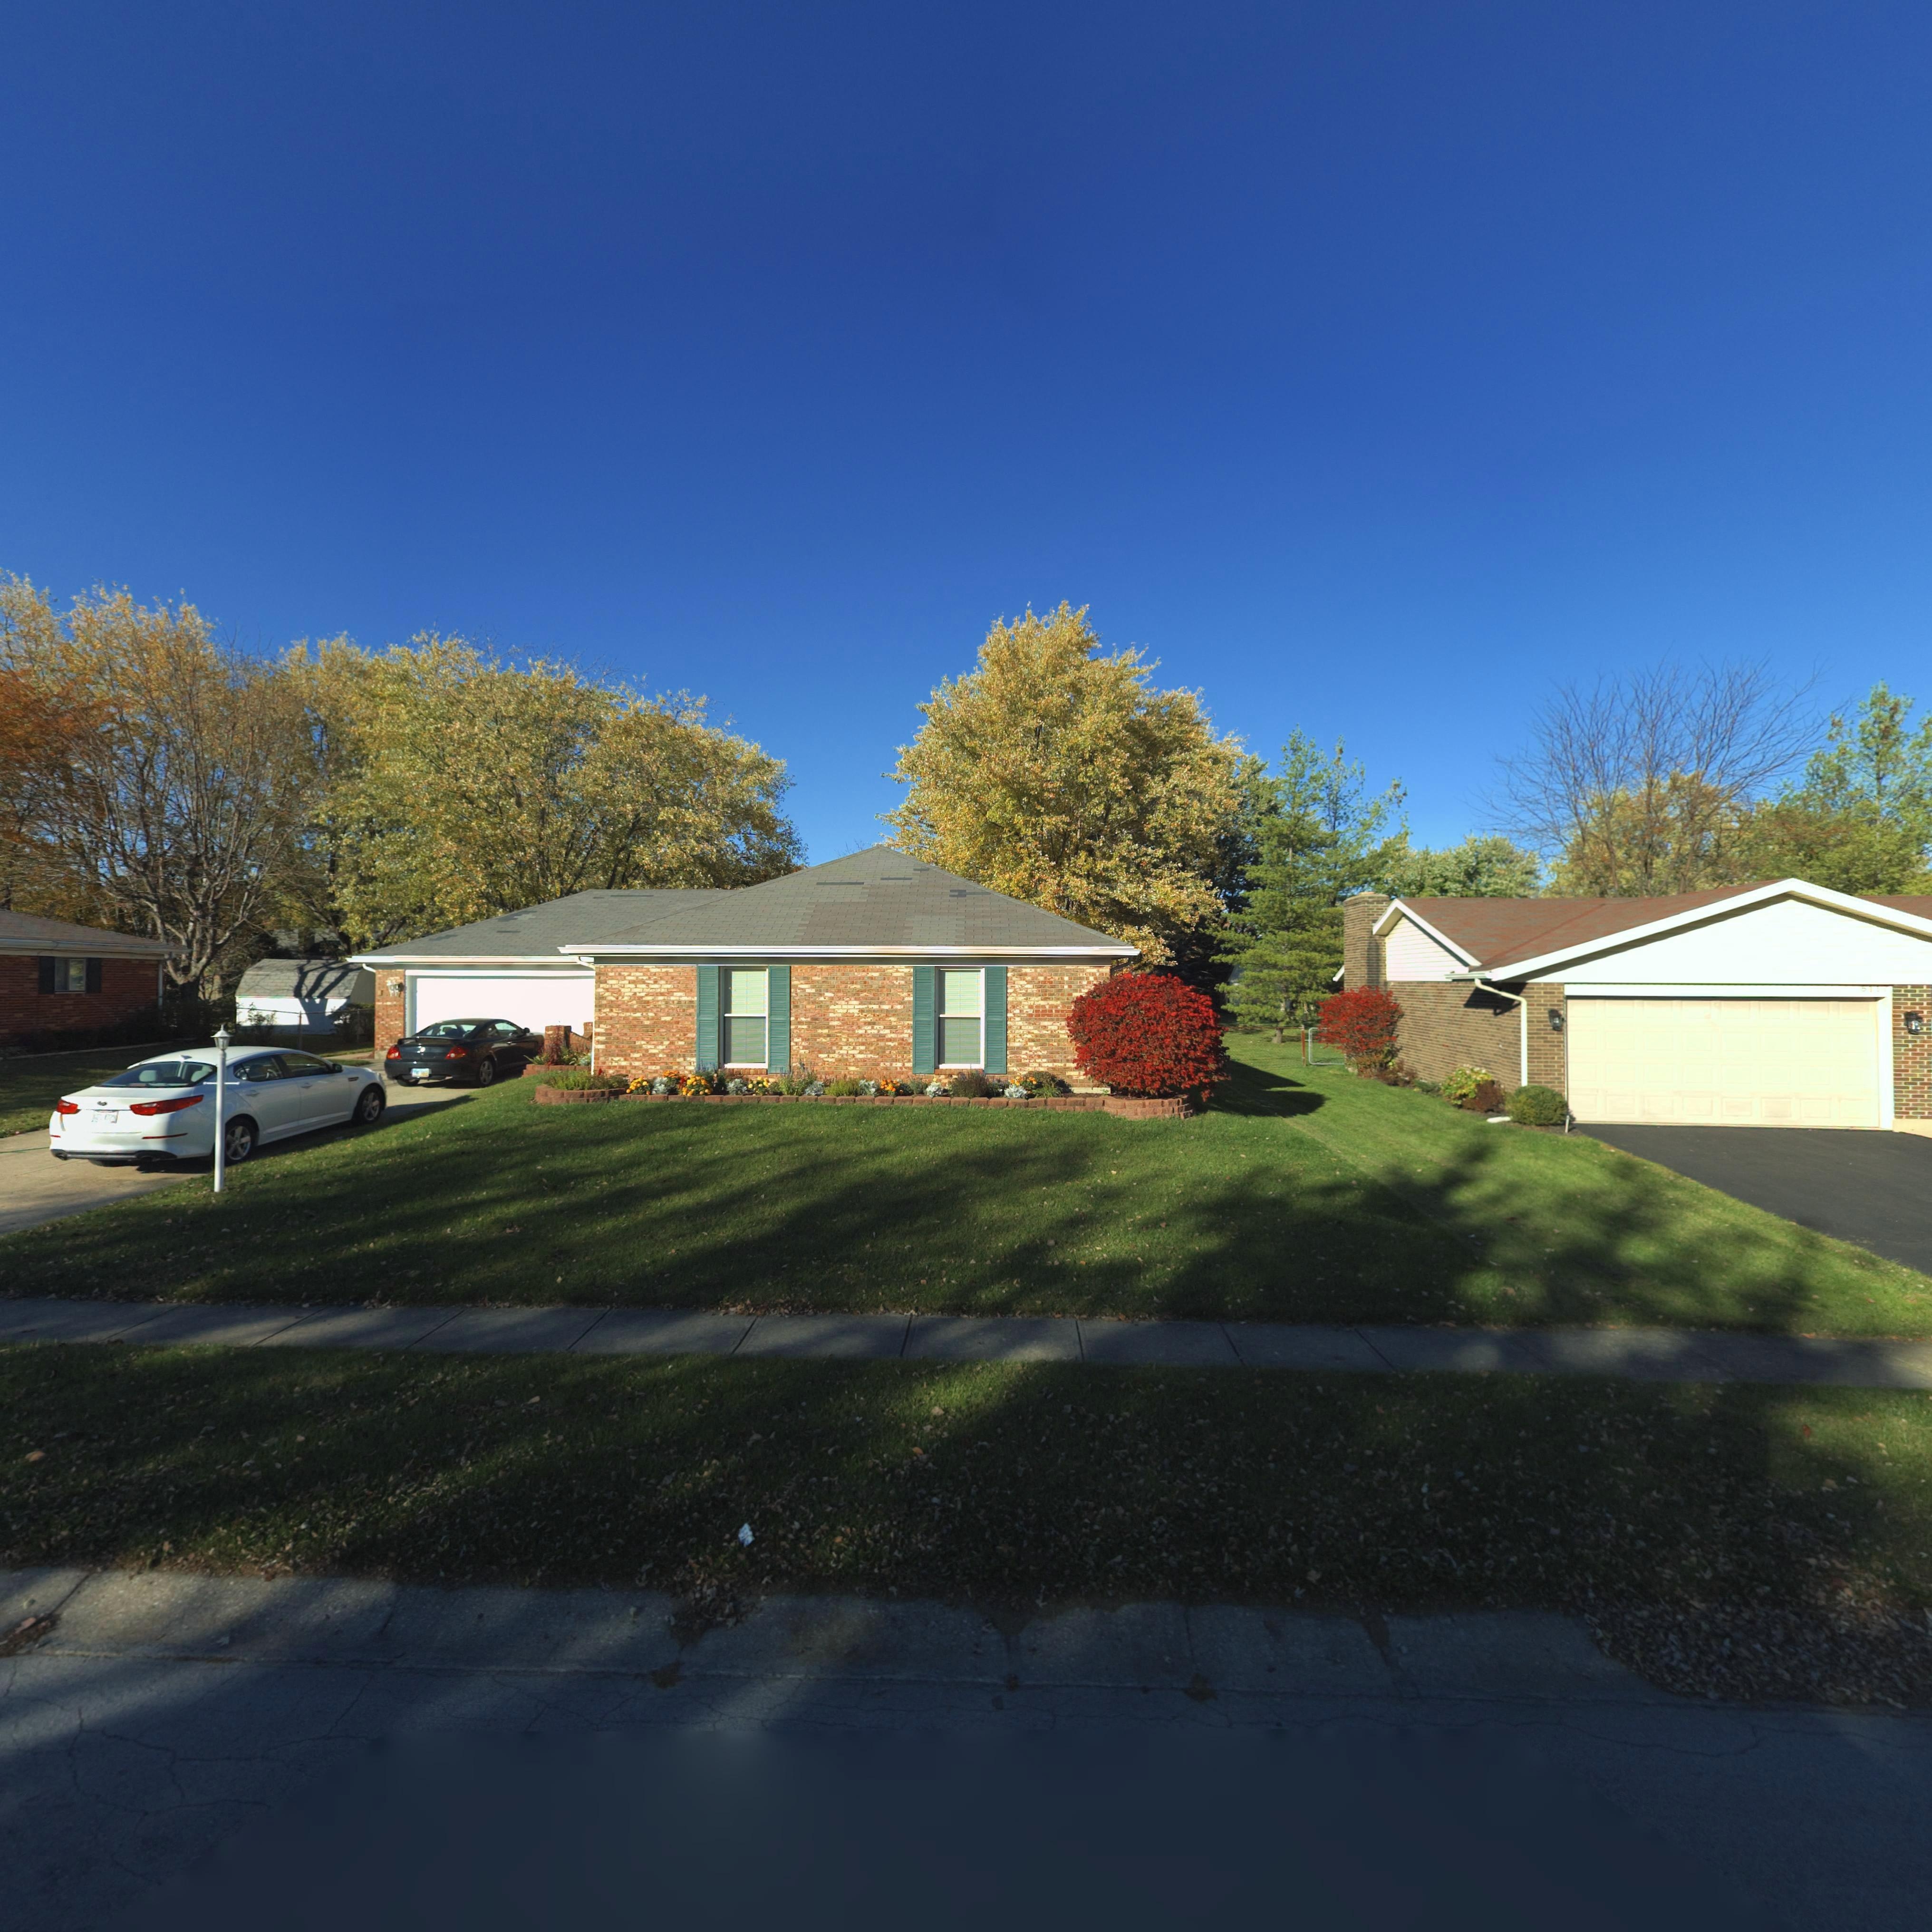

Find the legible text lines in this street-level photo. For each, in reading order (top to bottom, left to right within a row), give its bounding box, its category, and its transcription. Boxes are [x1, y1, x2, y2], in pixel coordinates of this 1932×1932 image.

[1860, 985, 1889, 993] StreetNumber: 5117